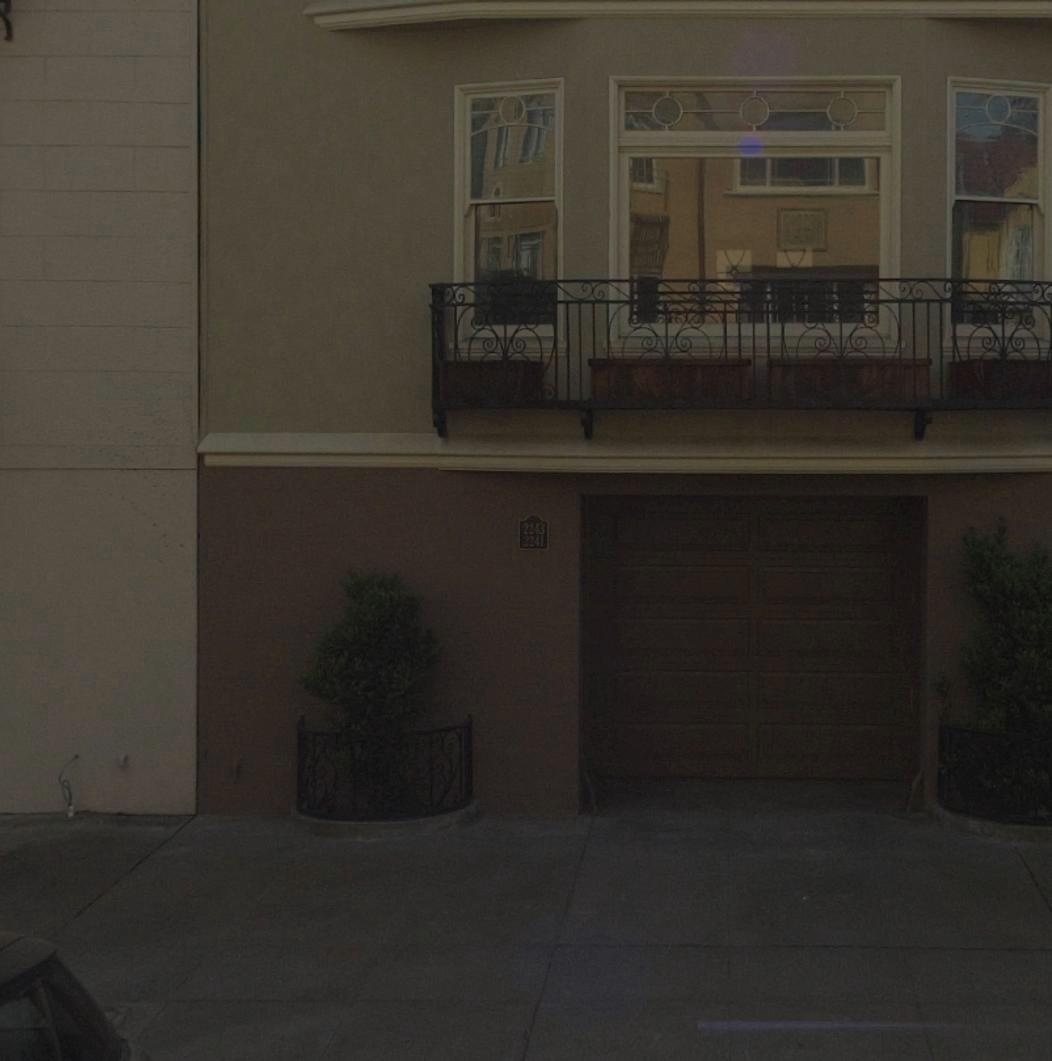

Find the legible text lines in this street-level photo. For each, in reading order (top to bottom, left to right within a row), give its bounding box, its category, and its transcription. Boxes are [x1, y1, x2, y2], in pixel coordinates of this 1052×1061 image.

[520, 521, 547, 536] StreetNumber: 2243
[521, 533, 546, 549] StreetNumber: 2241